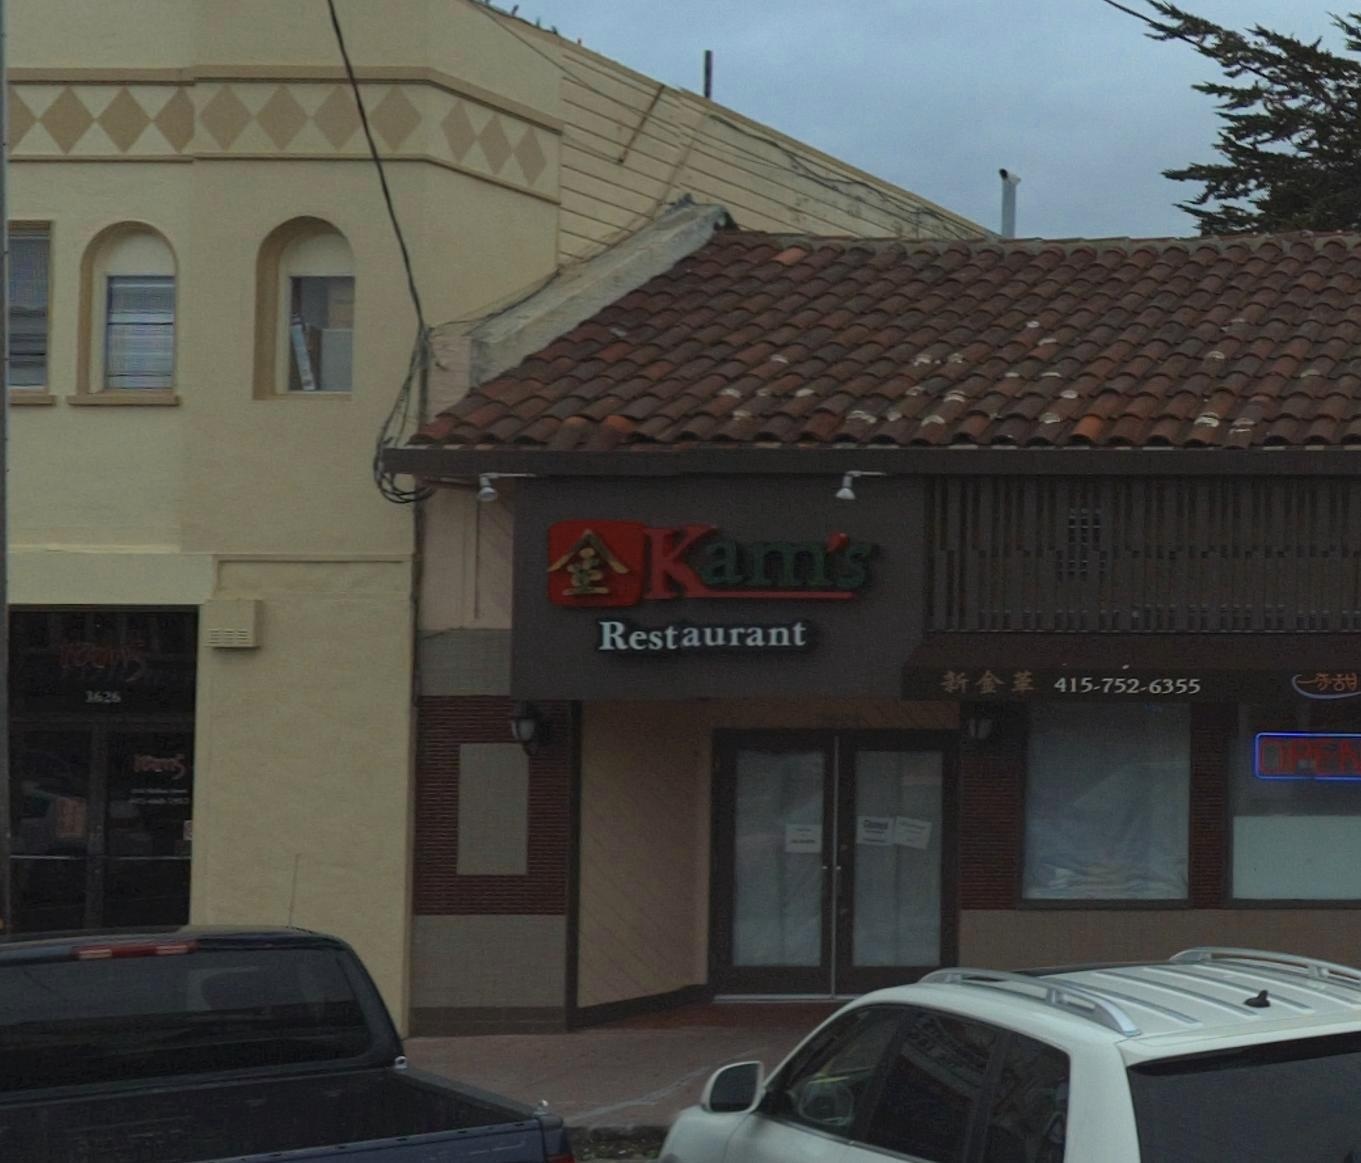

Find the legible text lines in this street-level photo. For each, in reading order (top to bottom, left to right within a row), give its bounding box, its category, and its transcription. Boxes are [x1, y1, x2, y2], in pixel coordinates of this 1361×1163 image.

[642, 523, 877, 603] BusinessName: Kam's
[594, 616, 811, 653] BusinessName: Restaurant
[83, 689, 123, 704] StreetNumber: 3626
[1051, 674, 1203, 696] None: 415-752-6355
[1258, 736, 1340, 778] None: OPE